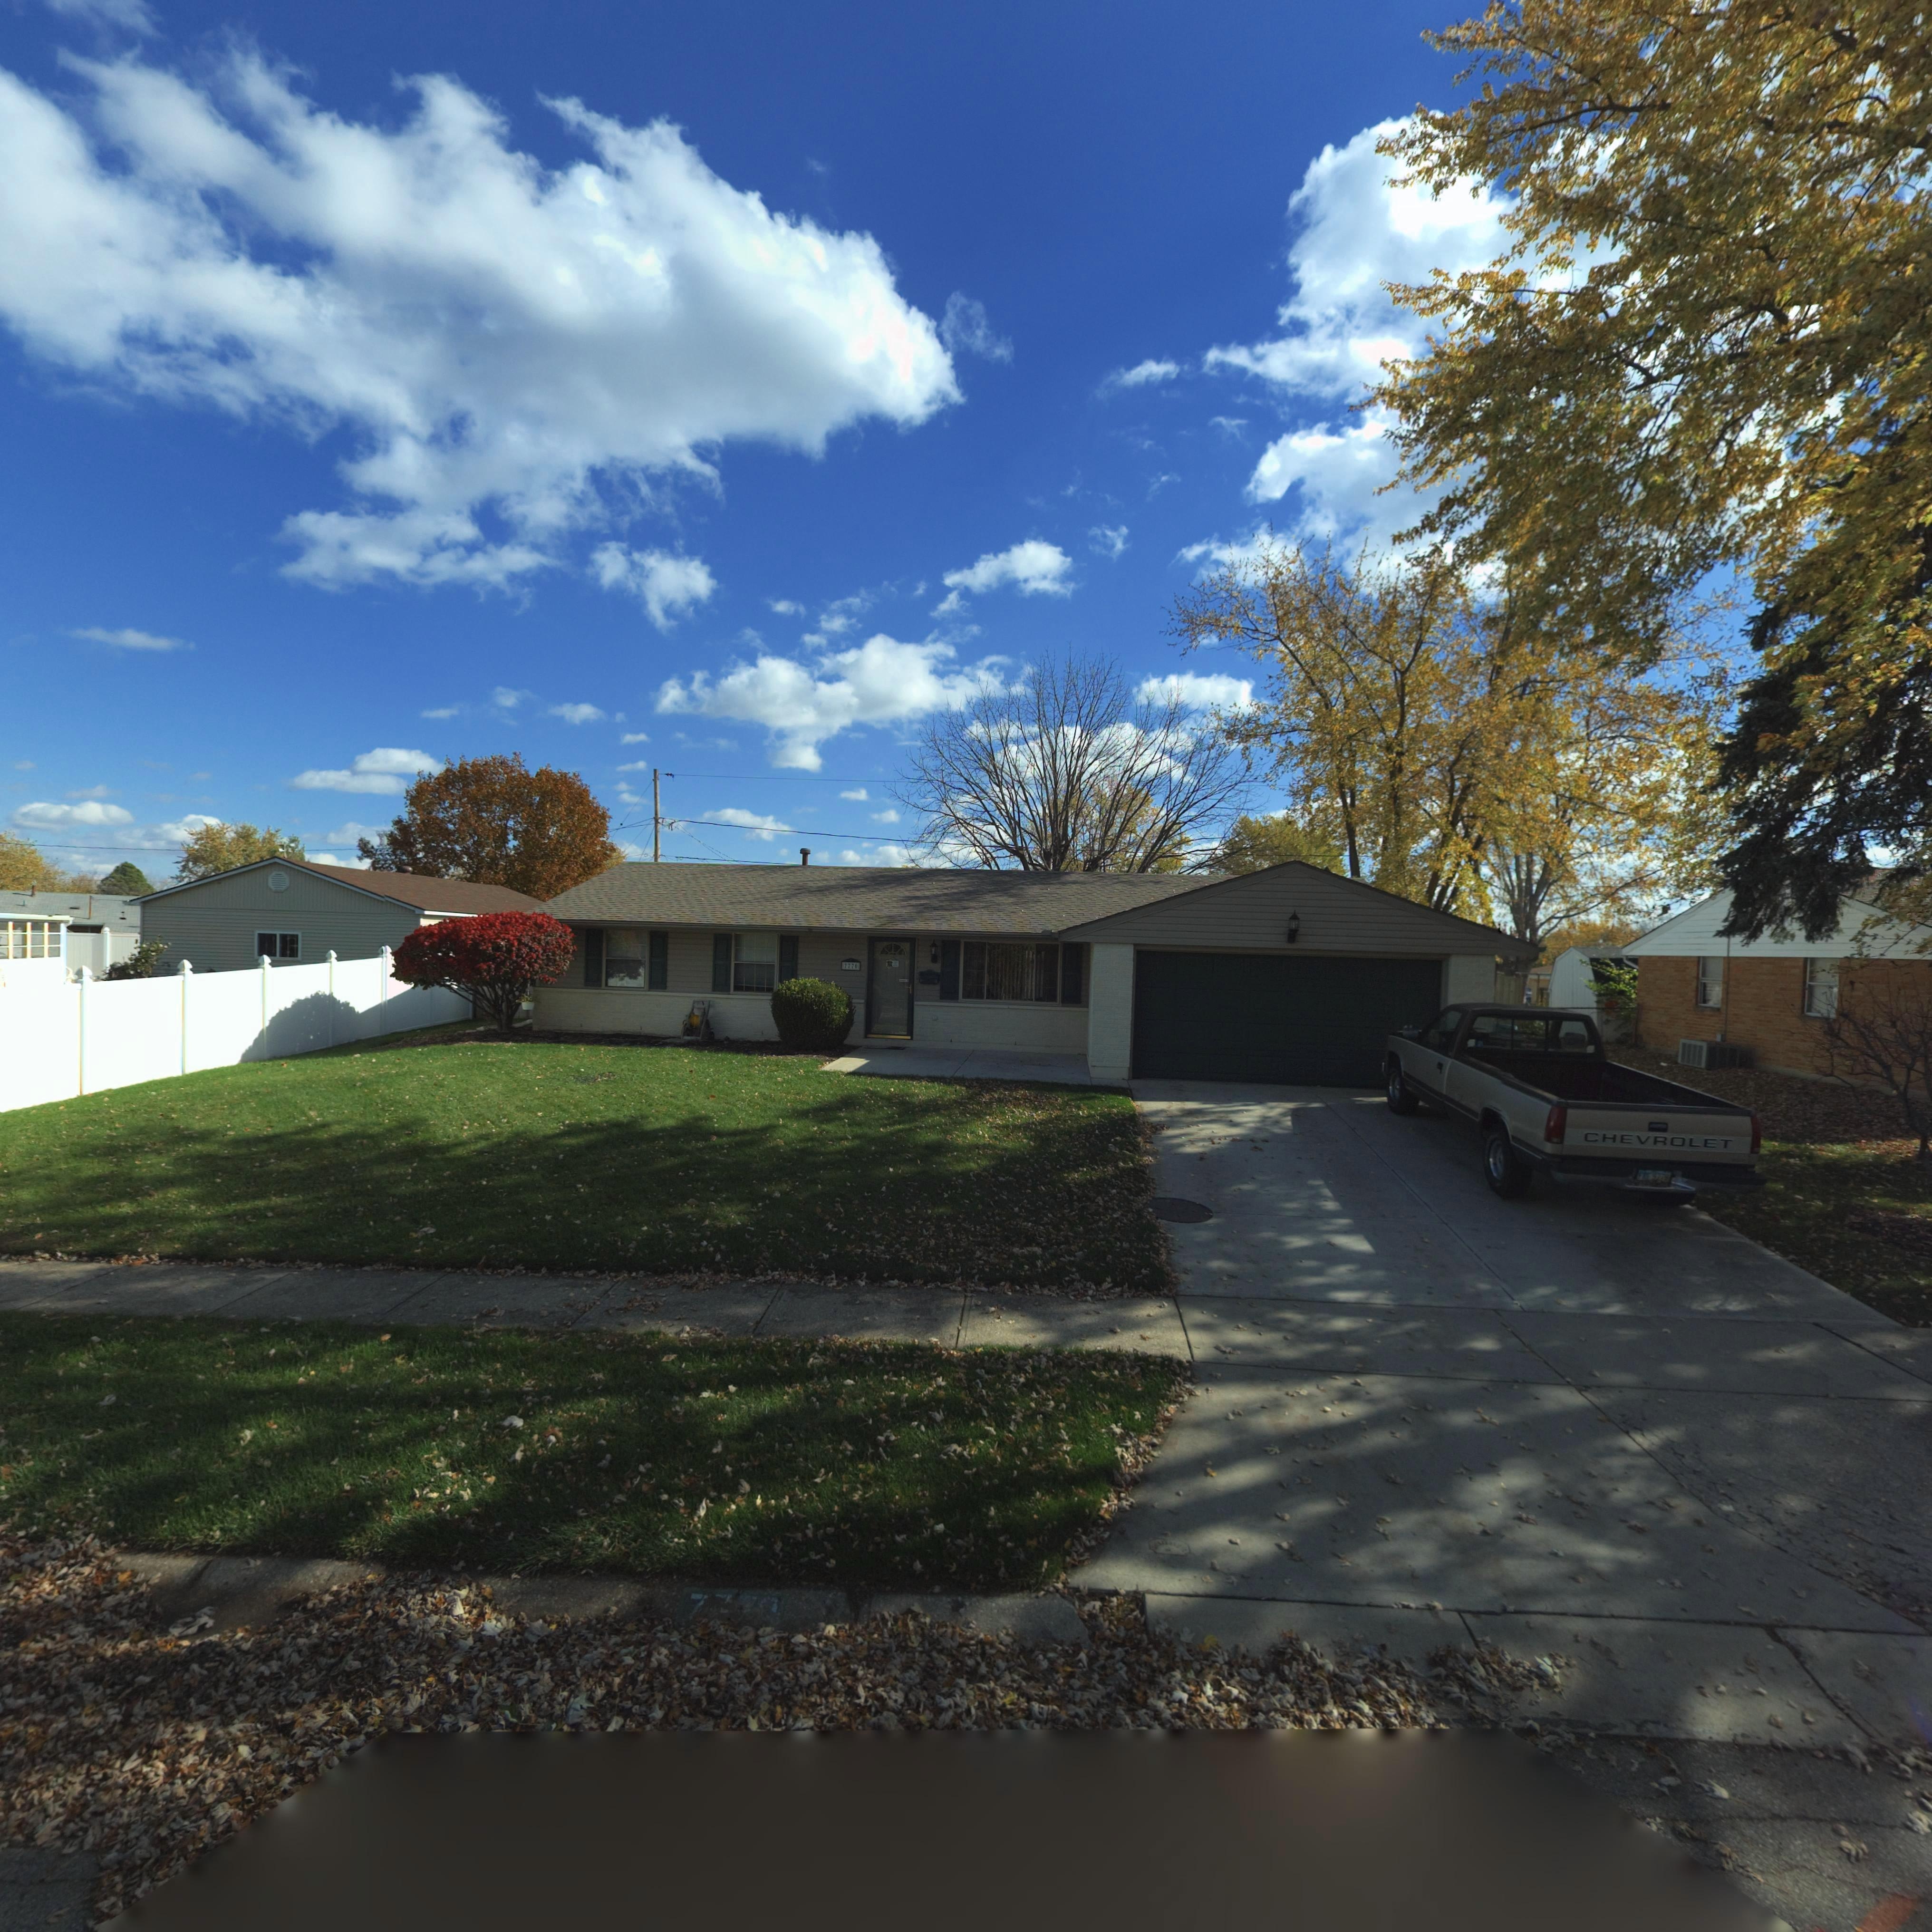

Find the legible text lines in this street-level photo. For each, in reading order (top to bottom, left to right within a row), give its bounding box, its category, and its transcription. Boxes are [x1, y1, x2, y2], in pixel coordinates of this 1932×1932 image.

[844, 963, 858, 969] StreetNumber: 7770